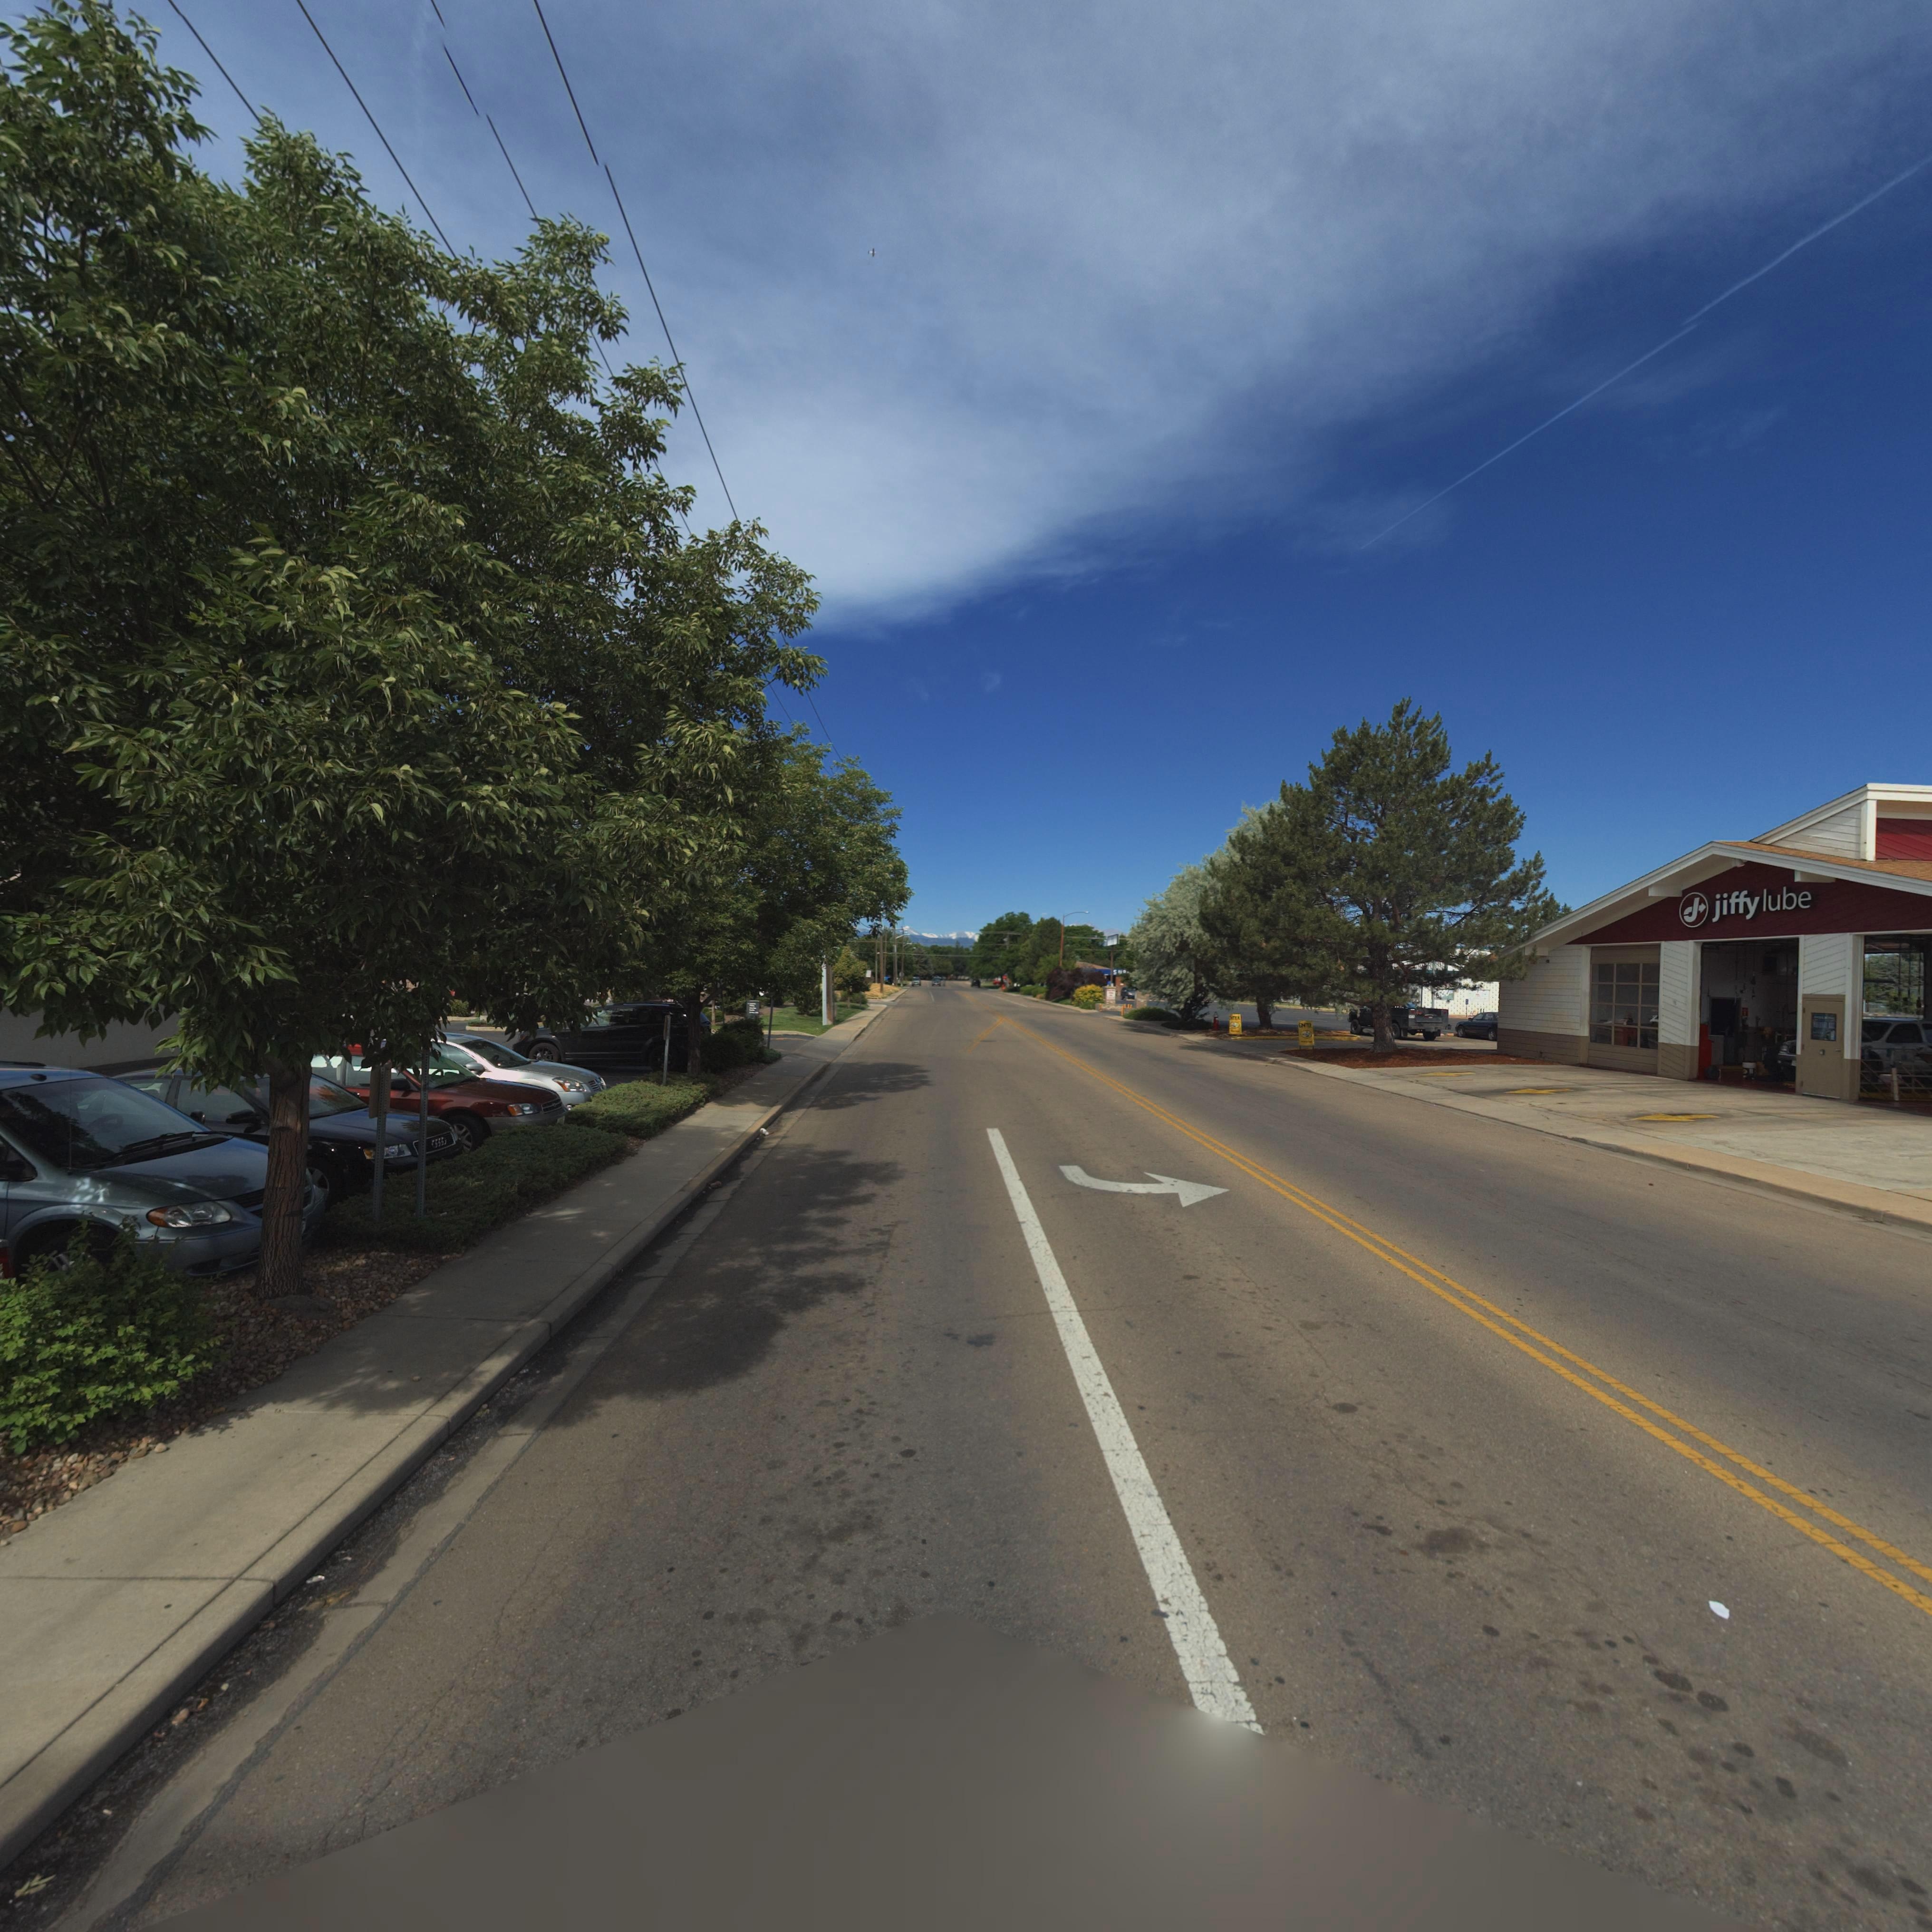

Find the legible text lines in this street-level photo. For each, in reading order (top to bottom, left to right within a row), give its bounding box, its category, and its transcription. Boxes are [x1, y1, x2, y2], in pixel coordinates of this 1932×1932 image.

[1711, 885, 1812, 923] BusinessName: jiffy lube
[1113, 969, 1126, 975] BusinessName: SU*